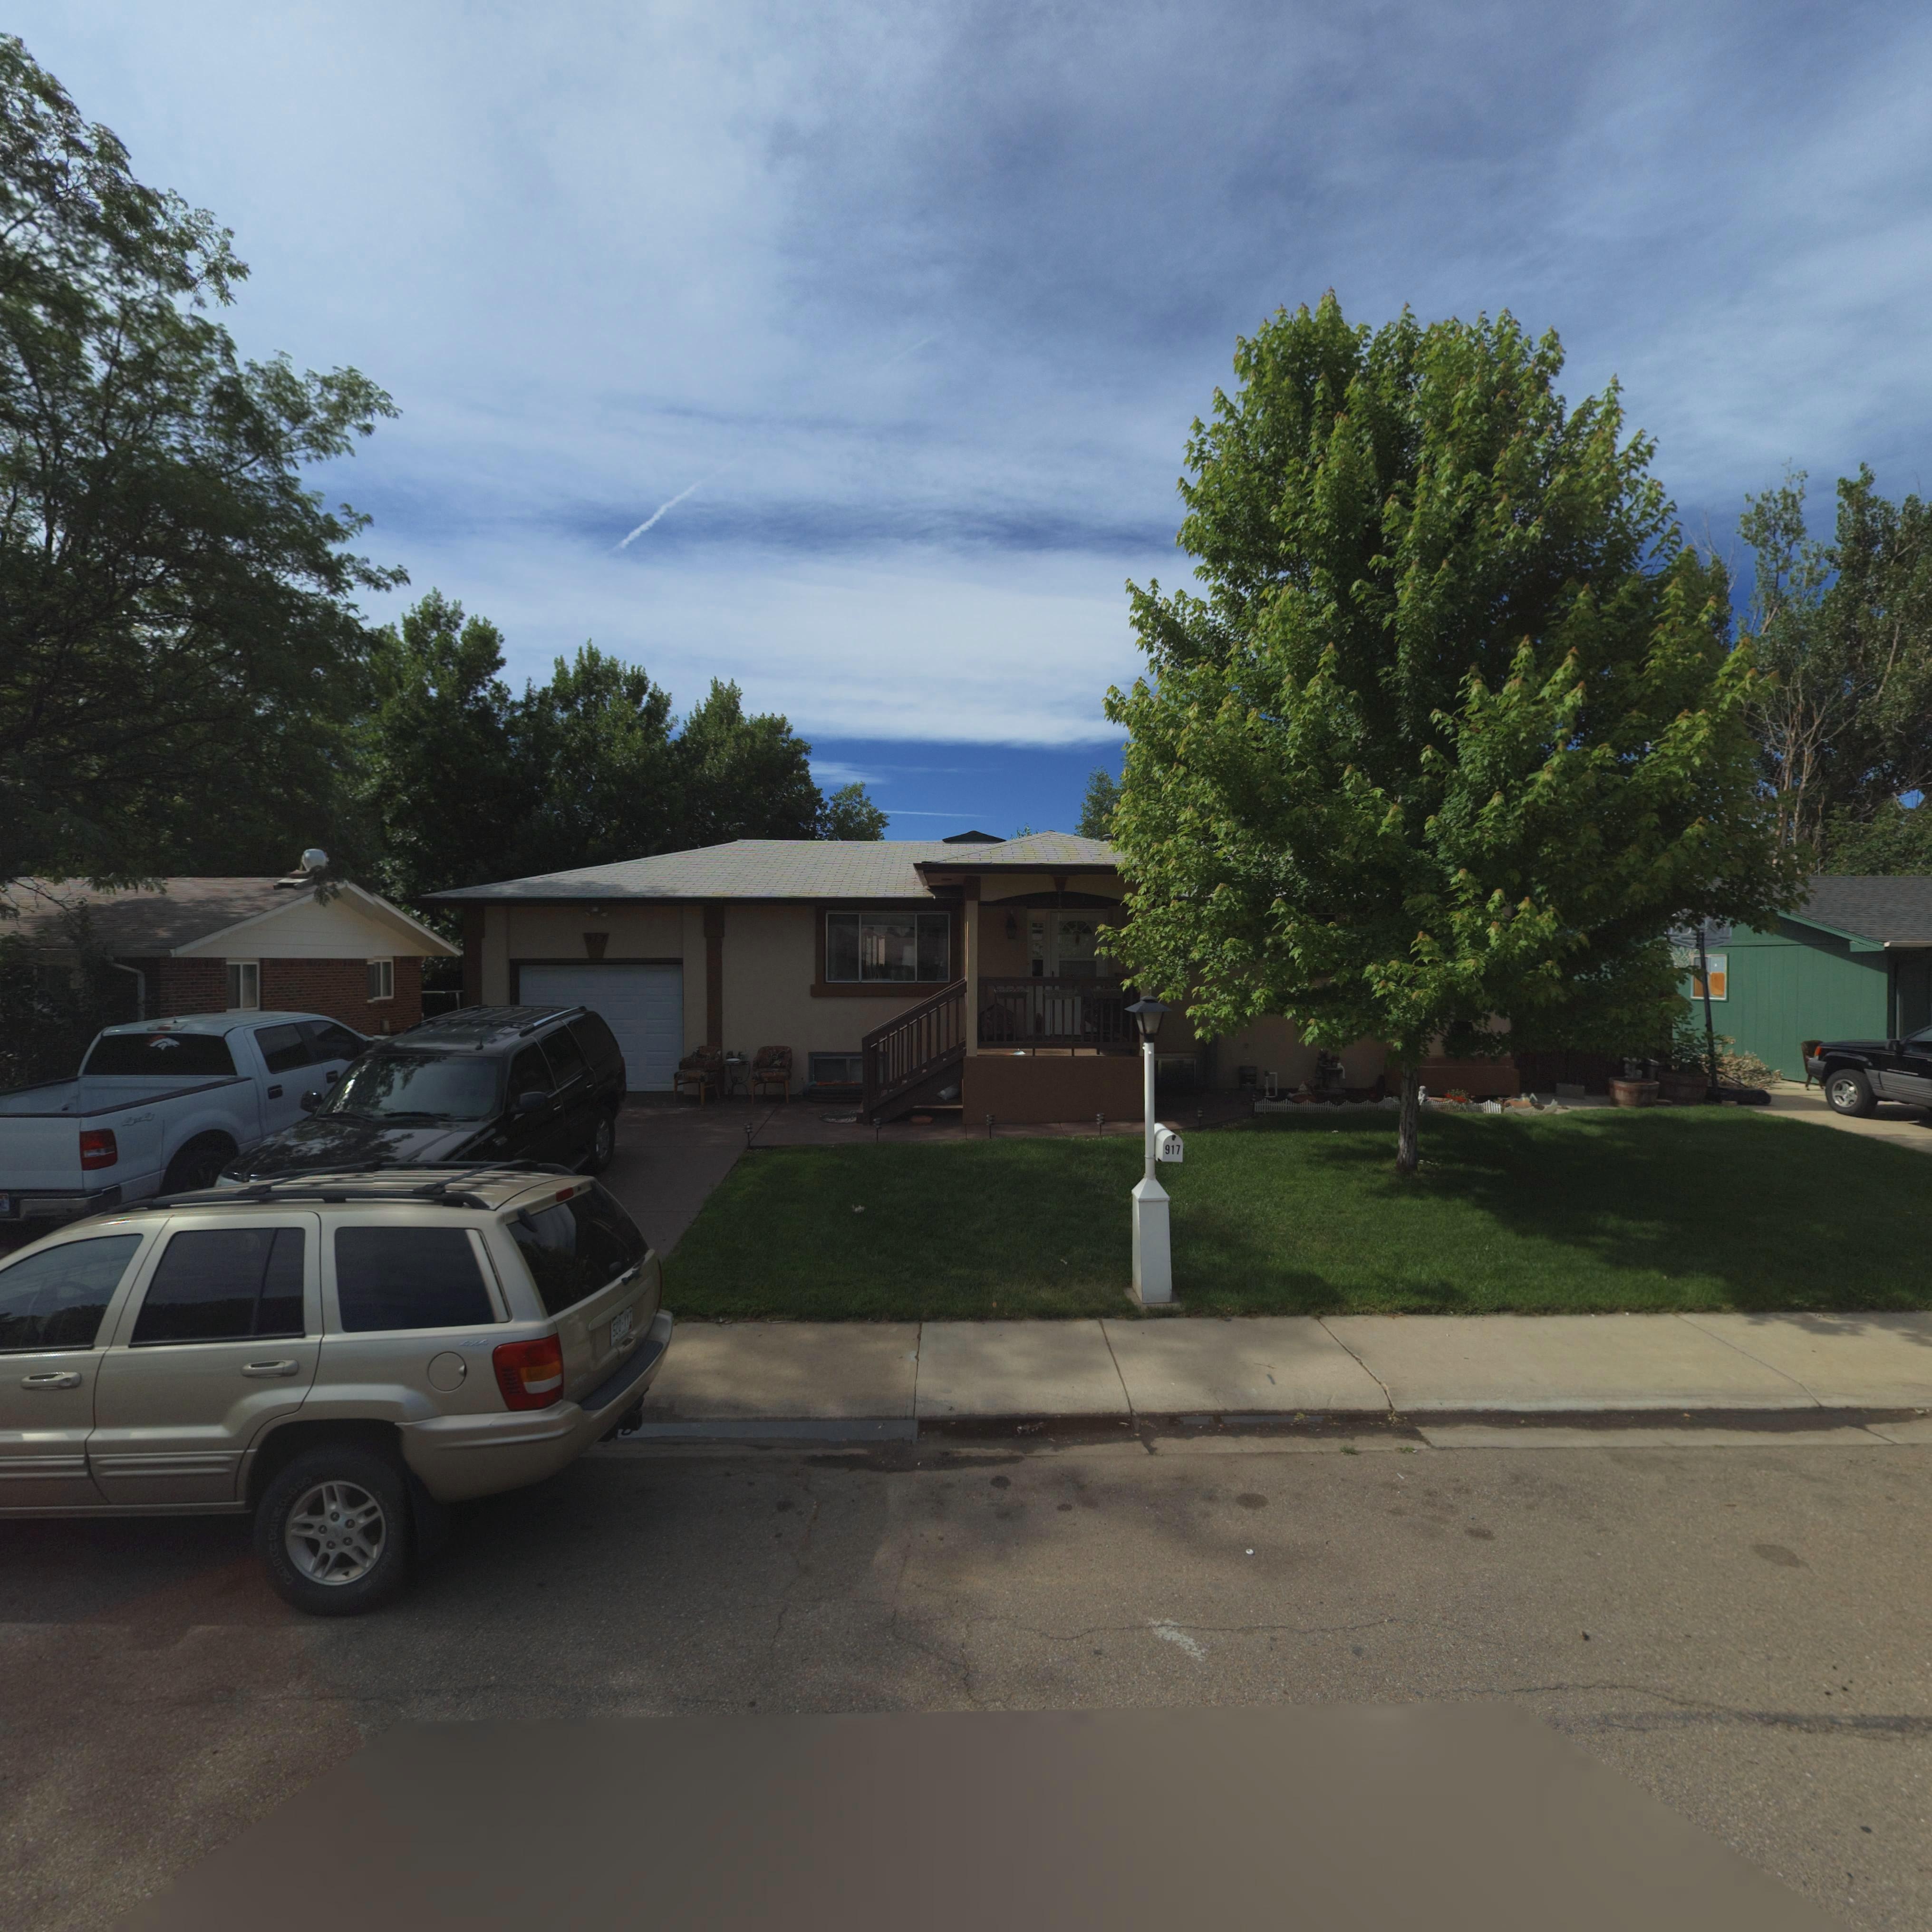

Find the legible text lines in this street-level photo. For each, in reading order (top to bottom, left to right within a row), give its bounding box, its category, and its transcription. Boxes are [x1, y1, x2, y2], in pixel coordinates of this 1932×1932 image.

[584, 934, 607, 942] StreetNumber: 917
[1165, 1144, 1180, 1154] StreetNumber: 917